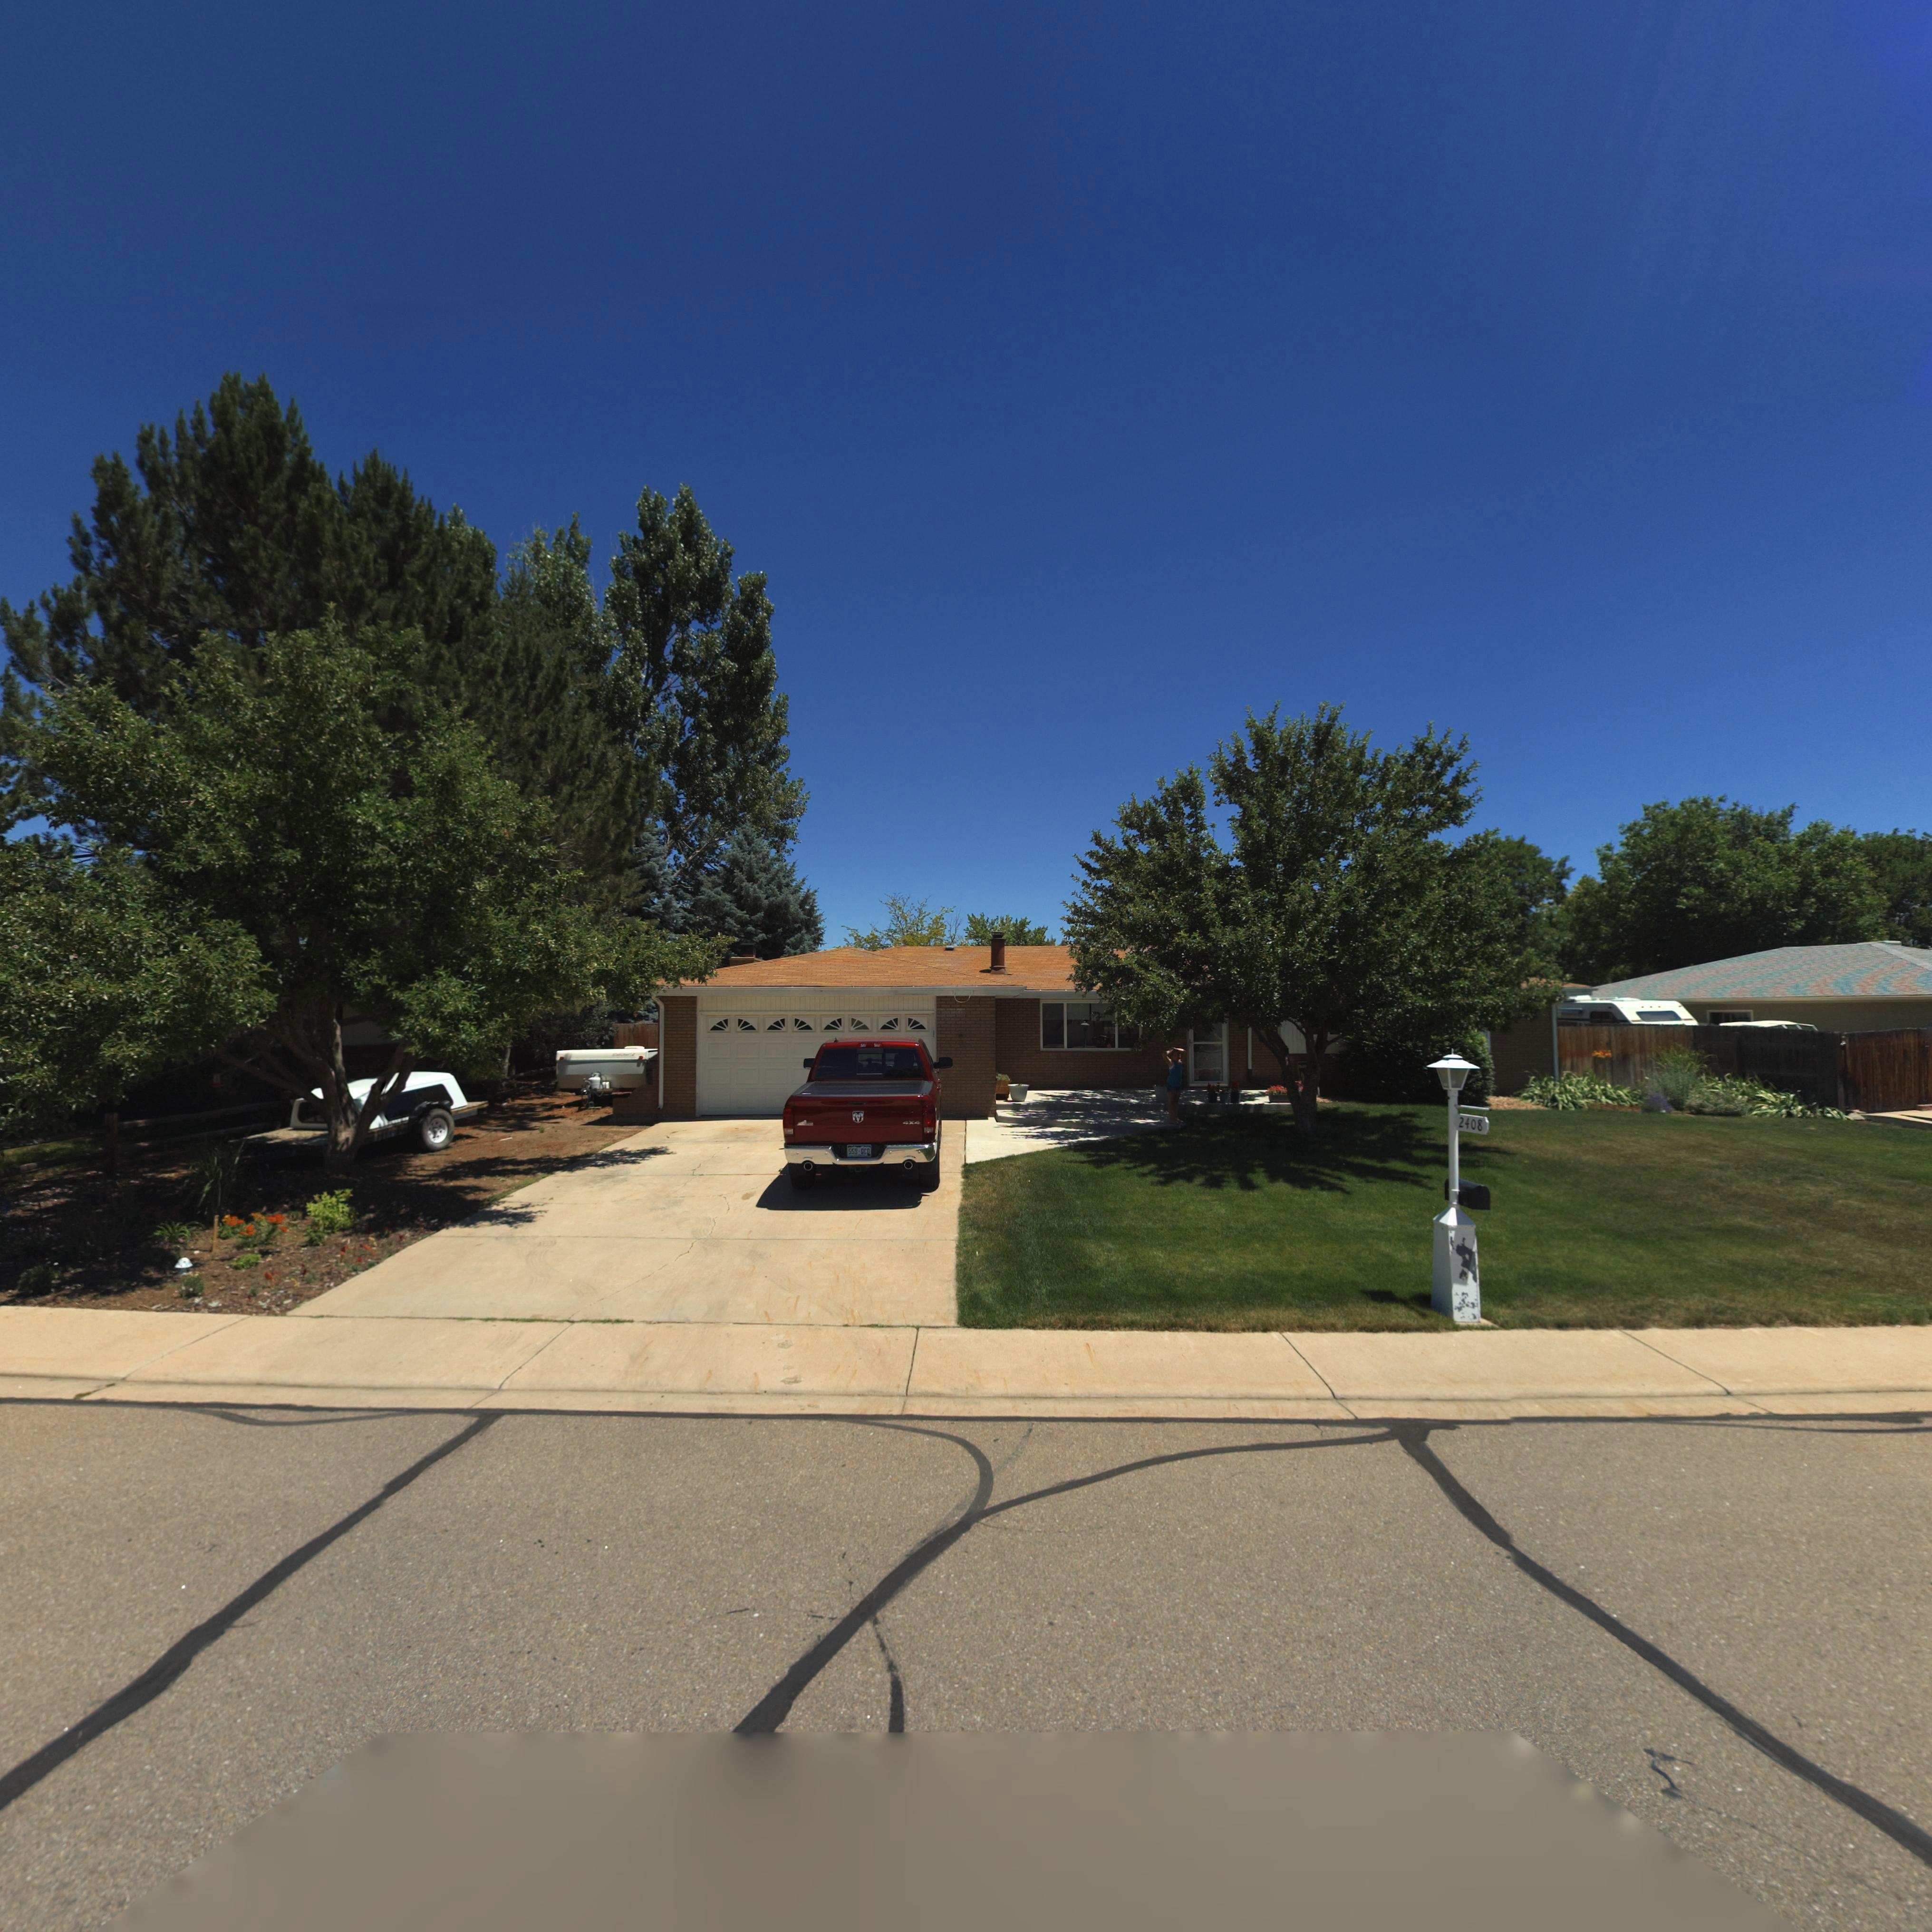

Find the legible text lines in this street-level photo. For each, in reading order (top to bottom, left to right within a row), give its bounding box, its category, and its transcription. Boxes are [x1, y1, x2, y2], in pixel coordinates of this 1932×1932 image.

[1459, 1117, 1483, 1131] StreetNumber: 2408